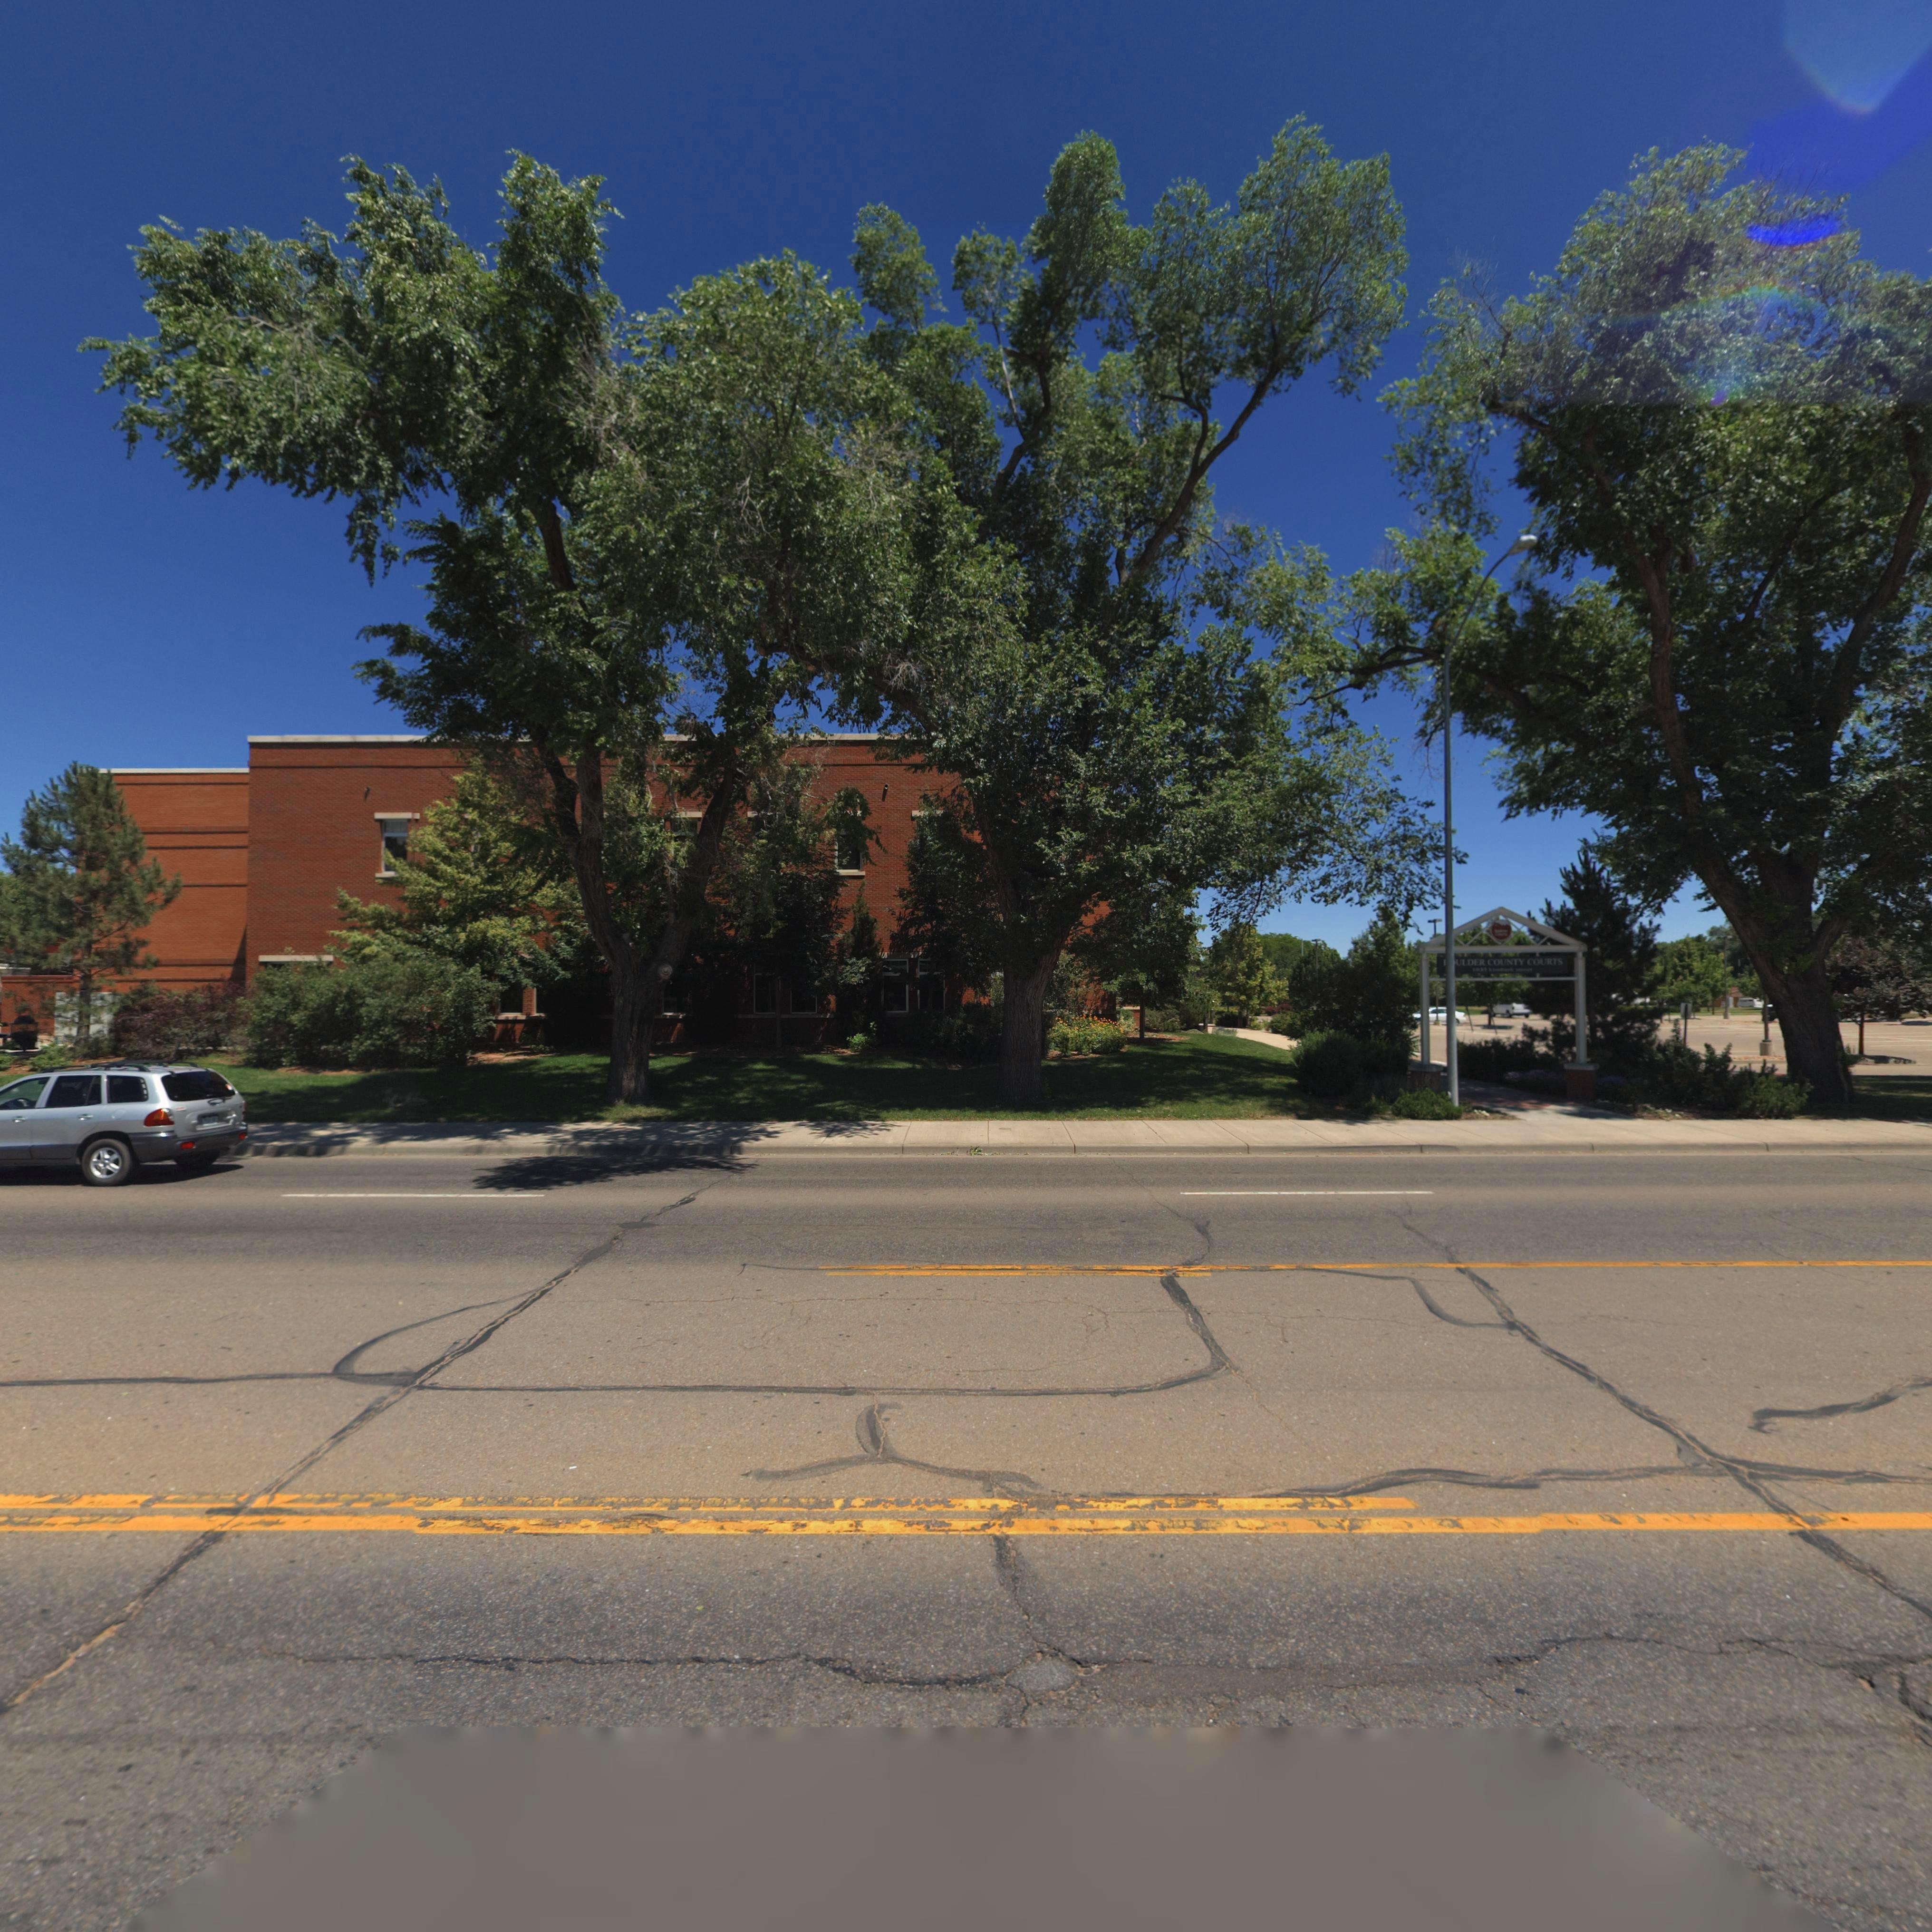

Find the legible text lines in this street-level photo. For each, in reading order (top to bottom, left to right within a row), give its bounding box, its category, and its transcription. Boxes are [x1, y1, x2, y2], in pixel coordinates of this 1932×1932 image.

[1443, 957, 1563, 966] BusinessName: **ULDER COUNTY COURTS
[1471, 966, 1487, 972] StreetNumber: 1035
[1488, 966, 1533, 972] StreetName: kimbark street